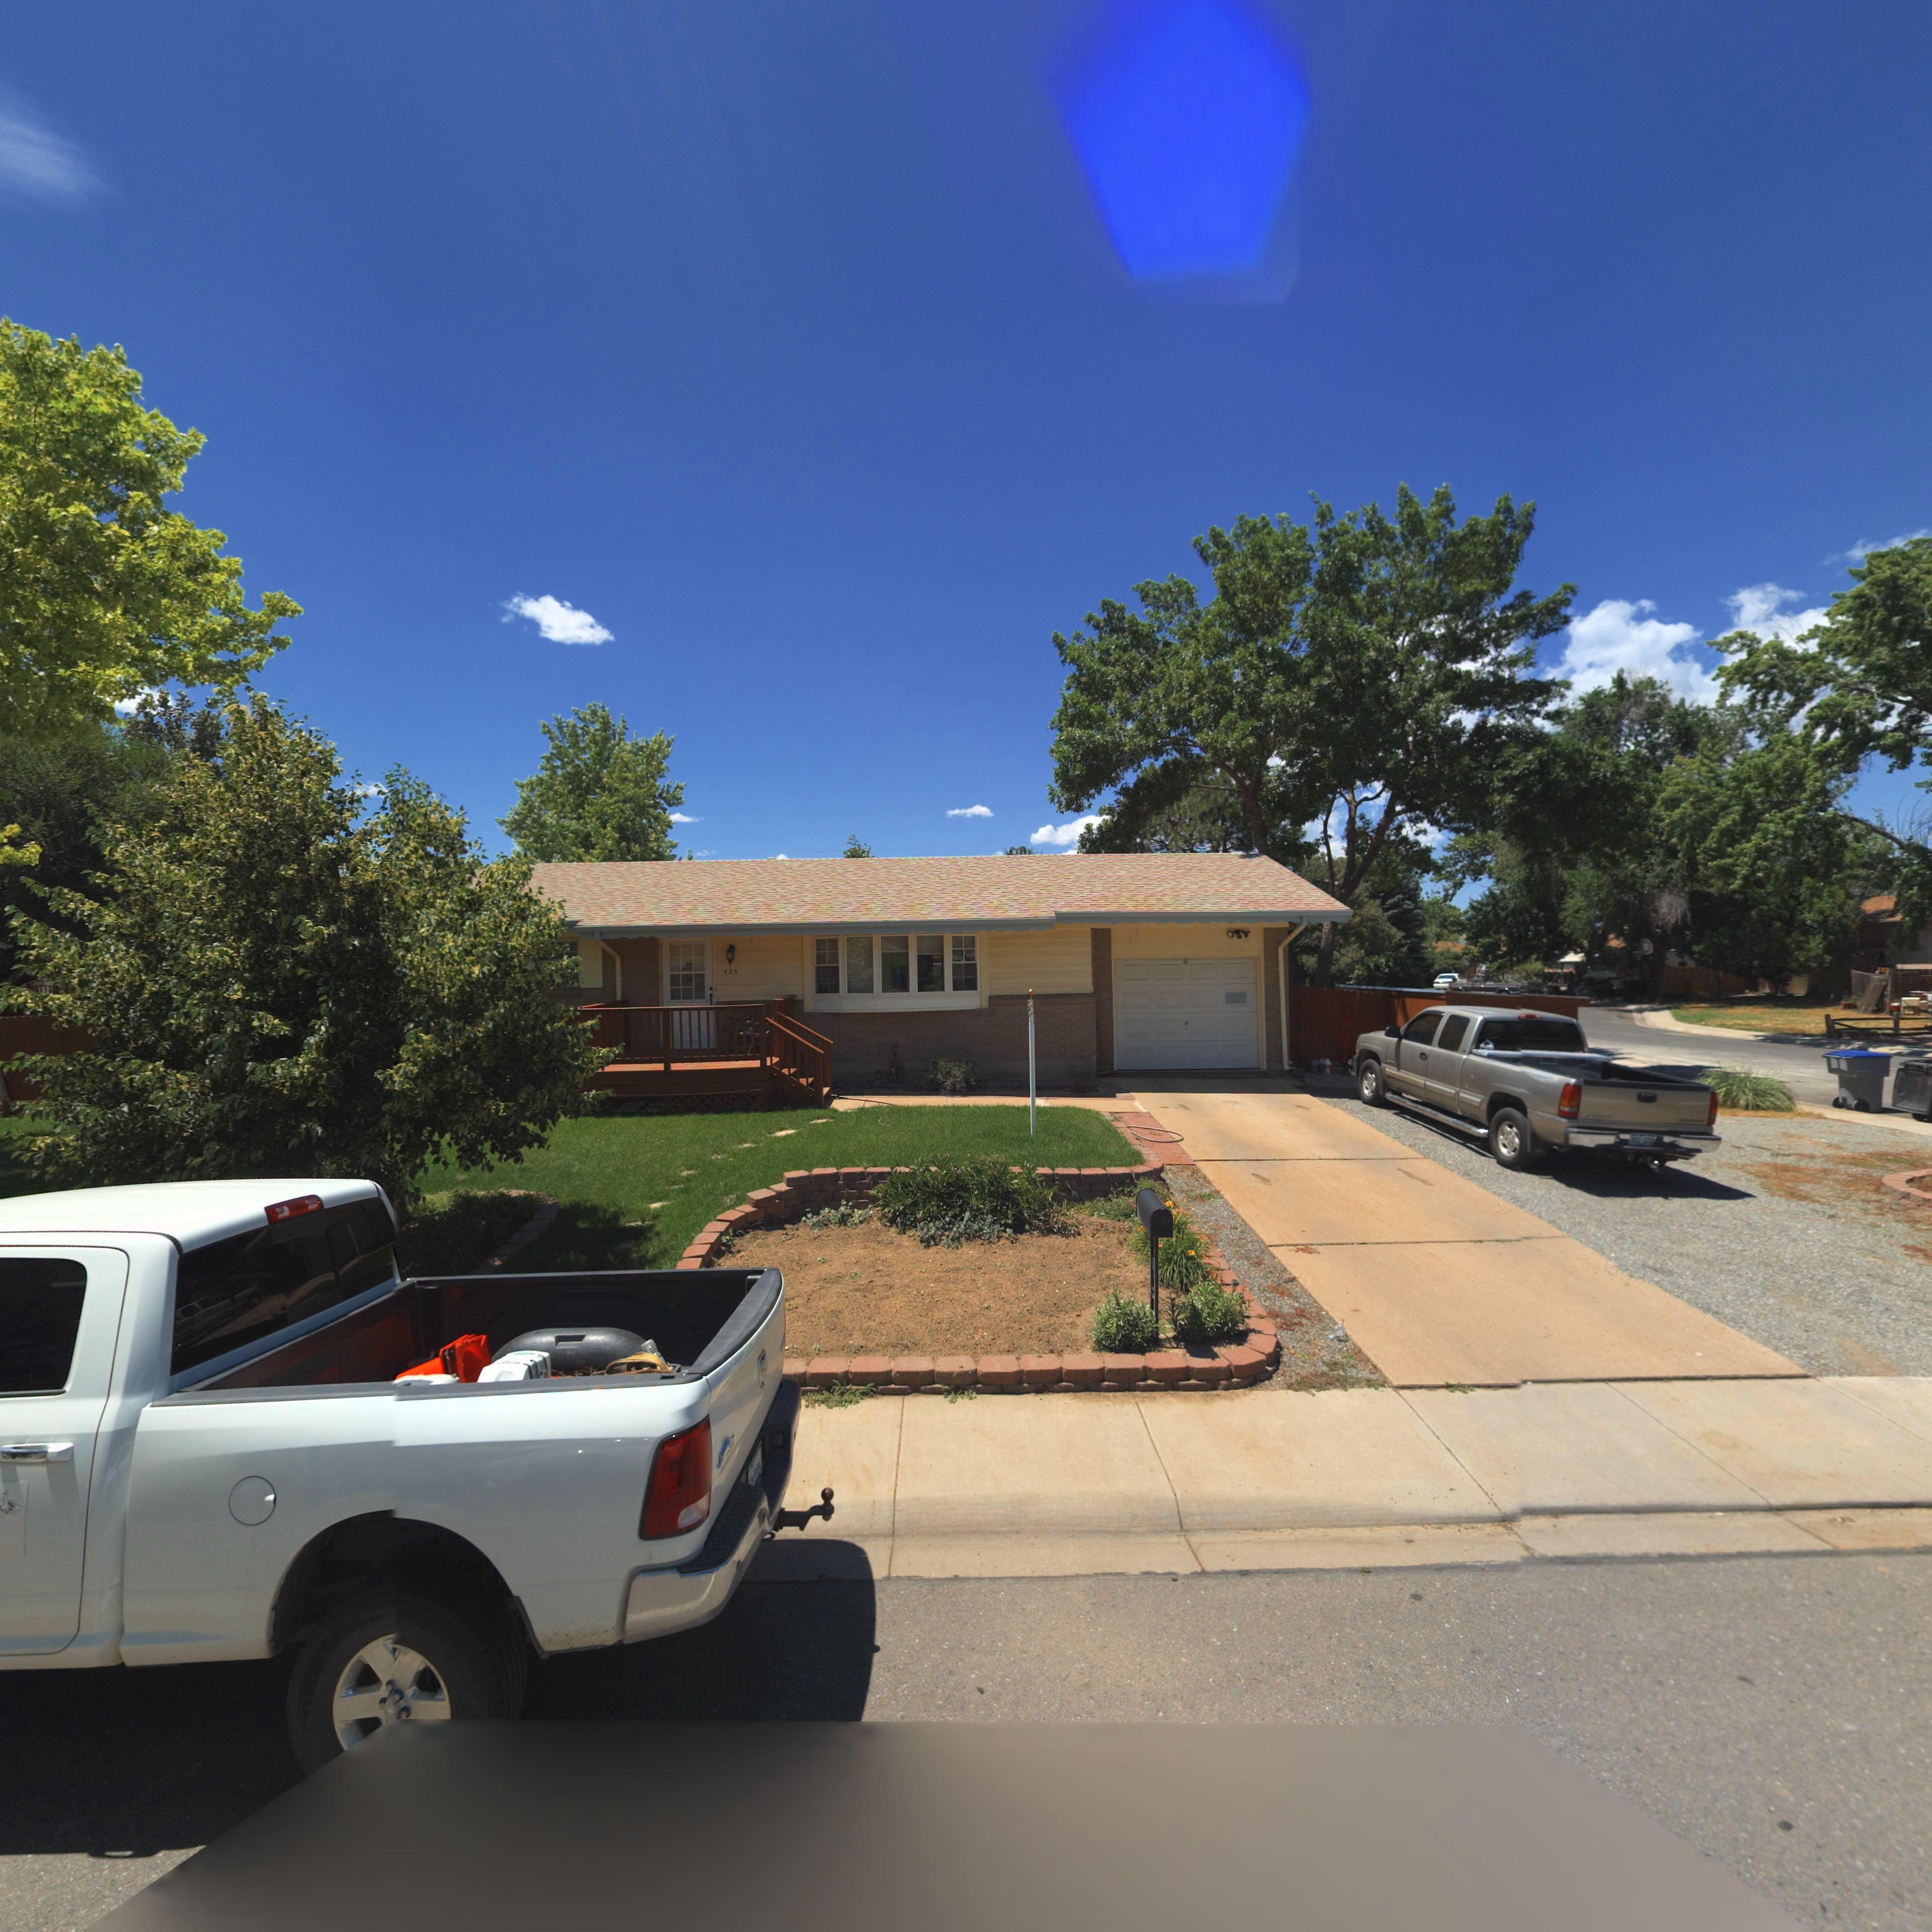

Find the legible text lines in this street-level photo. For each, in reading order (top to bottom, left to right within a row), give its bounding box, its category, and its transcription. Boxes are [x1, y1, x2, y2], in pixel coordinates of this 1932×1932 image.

[723, 969, 738, 975] StreetNumber: 725